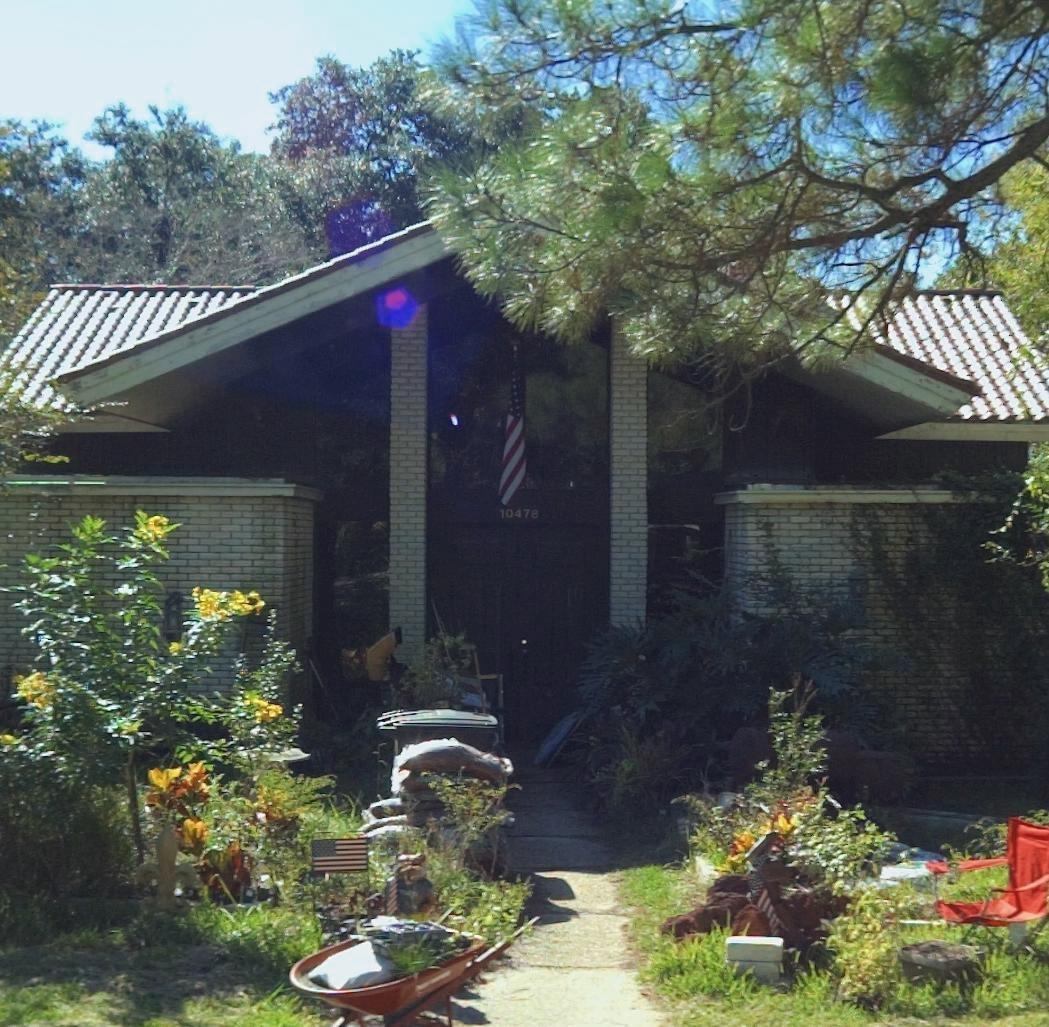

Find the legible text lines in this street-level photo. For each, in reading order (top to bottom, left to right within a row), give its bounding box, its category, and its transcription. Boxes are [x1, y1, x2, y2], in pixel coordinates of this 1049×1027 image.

[498, 506, 541, 521] StreetNumber: 10478